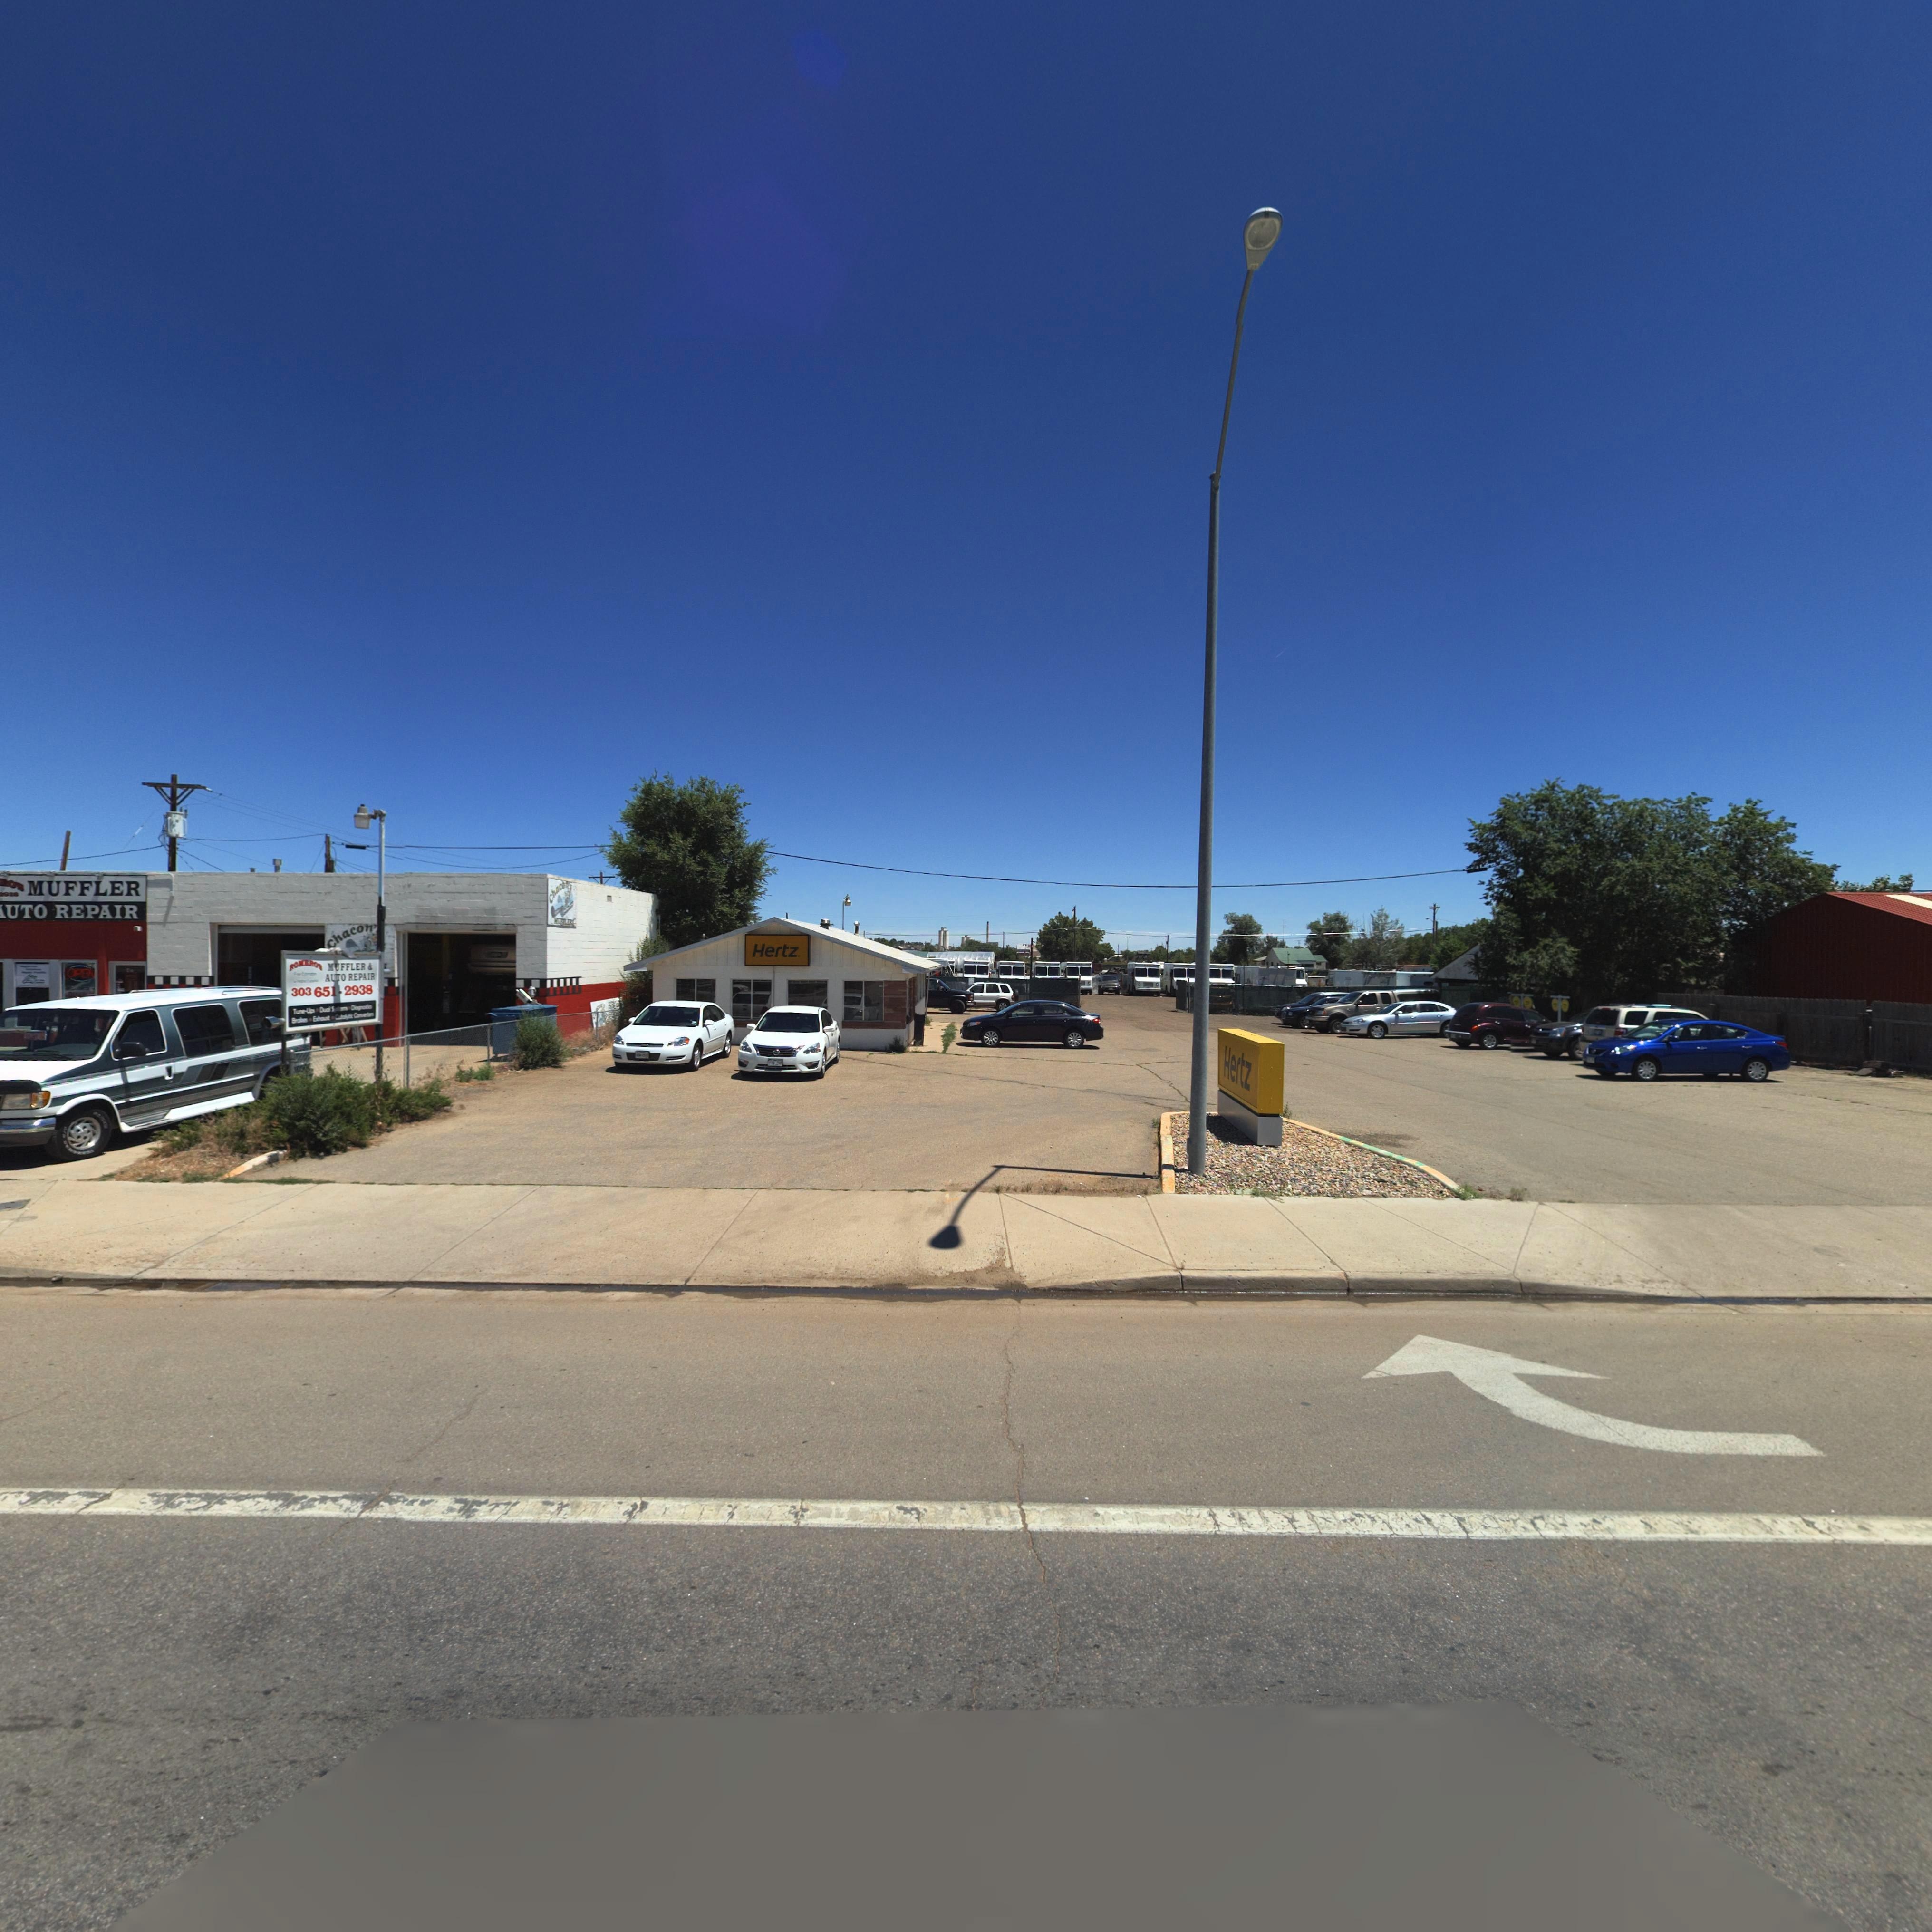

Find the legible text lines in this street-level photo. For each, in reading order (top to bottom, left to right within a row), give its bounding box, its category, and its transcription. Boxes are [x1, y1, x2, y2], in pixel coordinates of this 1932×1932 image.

[6, 879, 24, 892] BusinessName: O*
[27, 879, 142, 896] BusinessName: MUFFLER
[548, 881, 572, 905] BusinessName: Chac***
[4, 904, 139, 919] BusinessName: UTO REPAIR
[553, 917, 575, 926] BusinessName: **F*LER*
[326, 923, 373, 948] BusinessName: Chacon
[751, 943, 800, 957] BusinessName: Hertz
[289, 958, 322, 972] BusinessName: RO*ERO*
[327, 962, 373, 972] BusinessName: MUFFLER &
[324, 972, 376, 982] BusinessName: AUTO REPAIR
[1223, 1044, 1253, 1092] BusinessName: Hertz